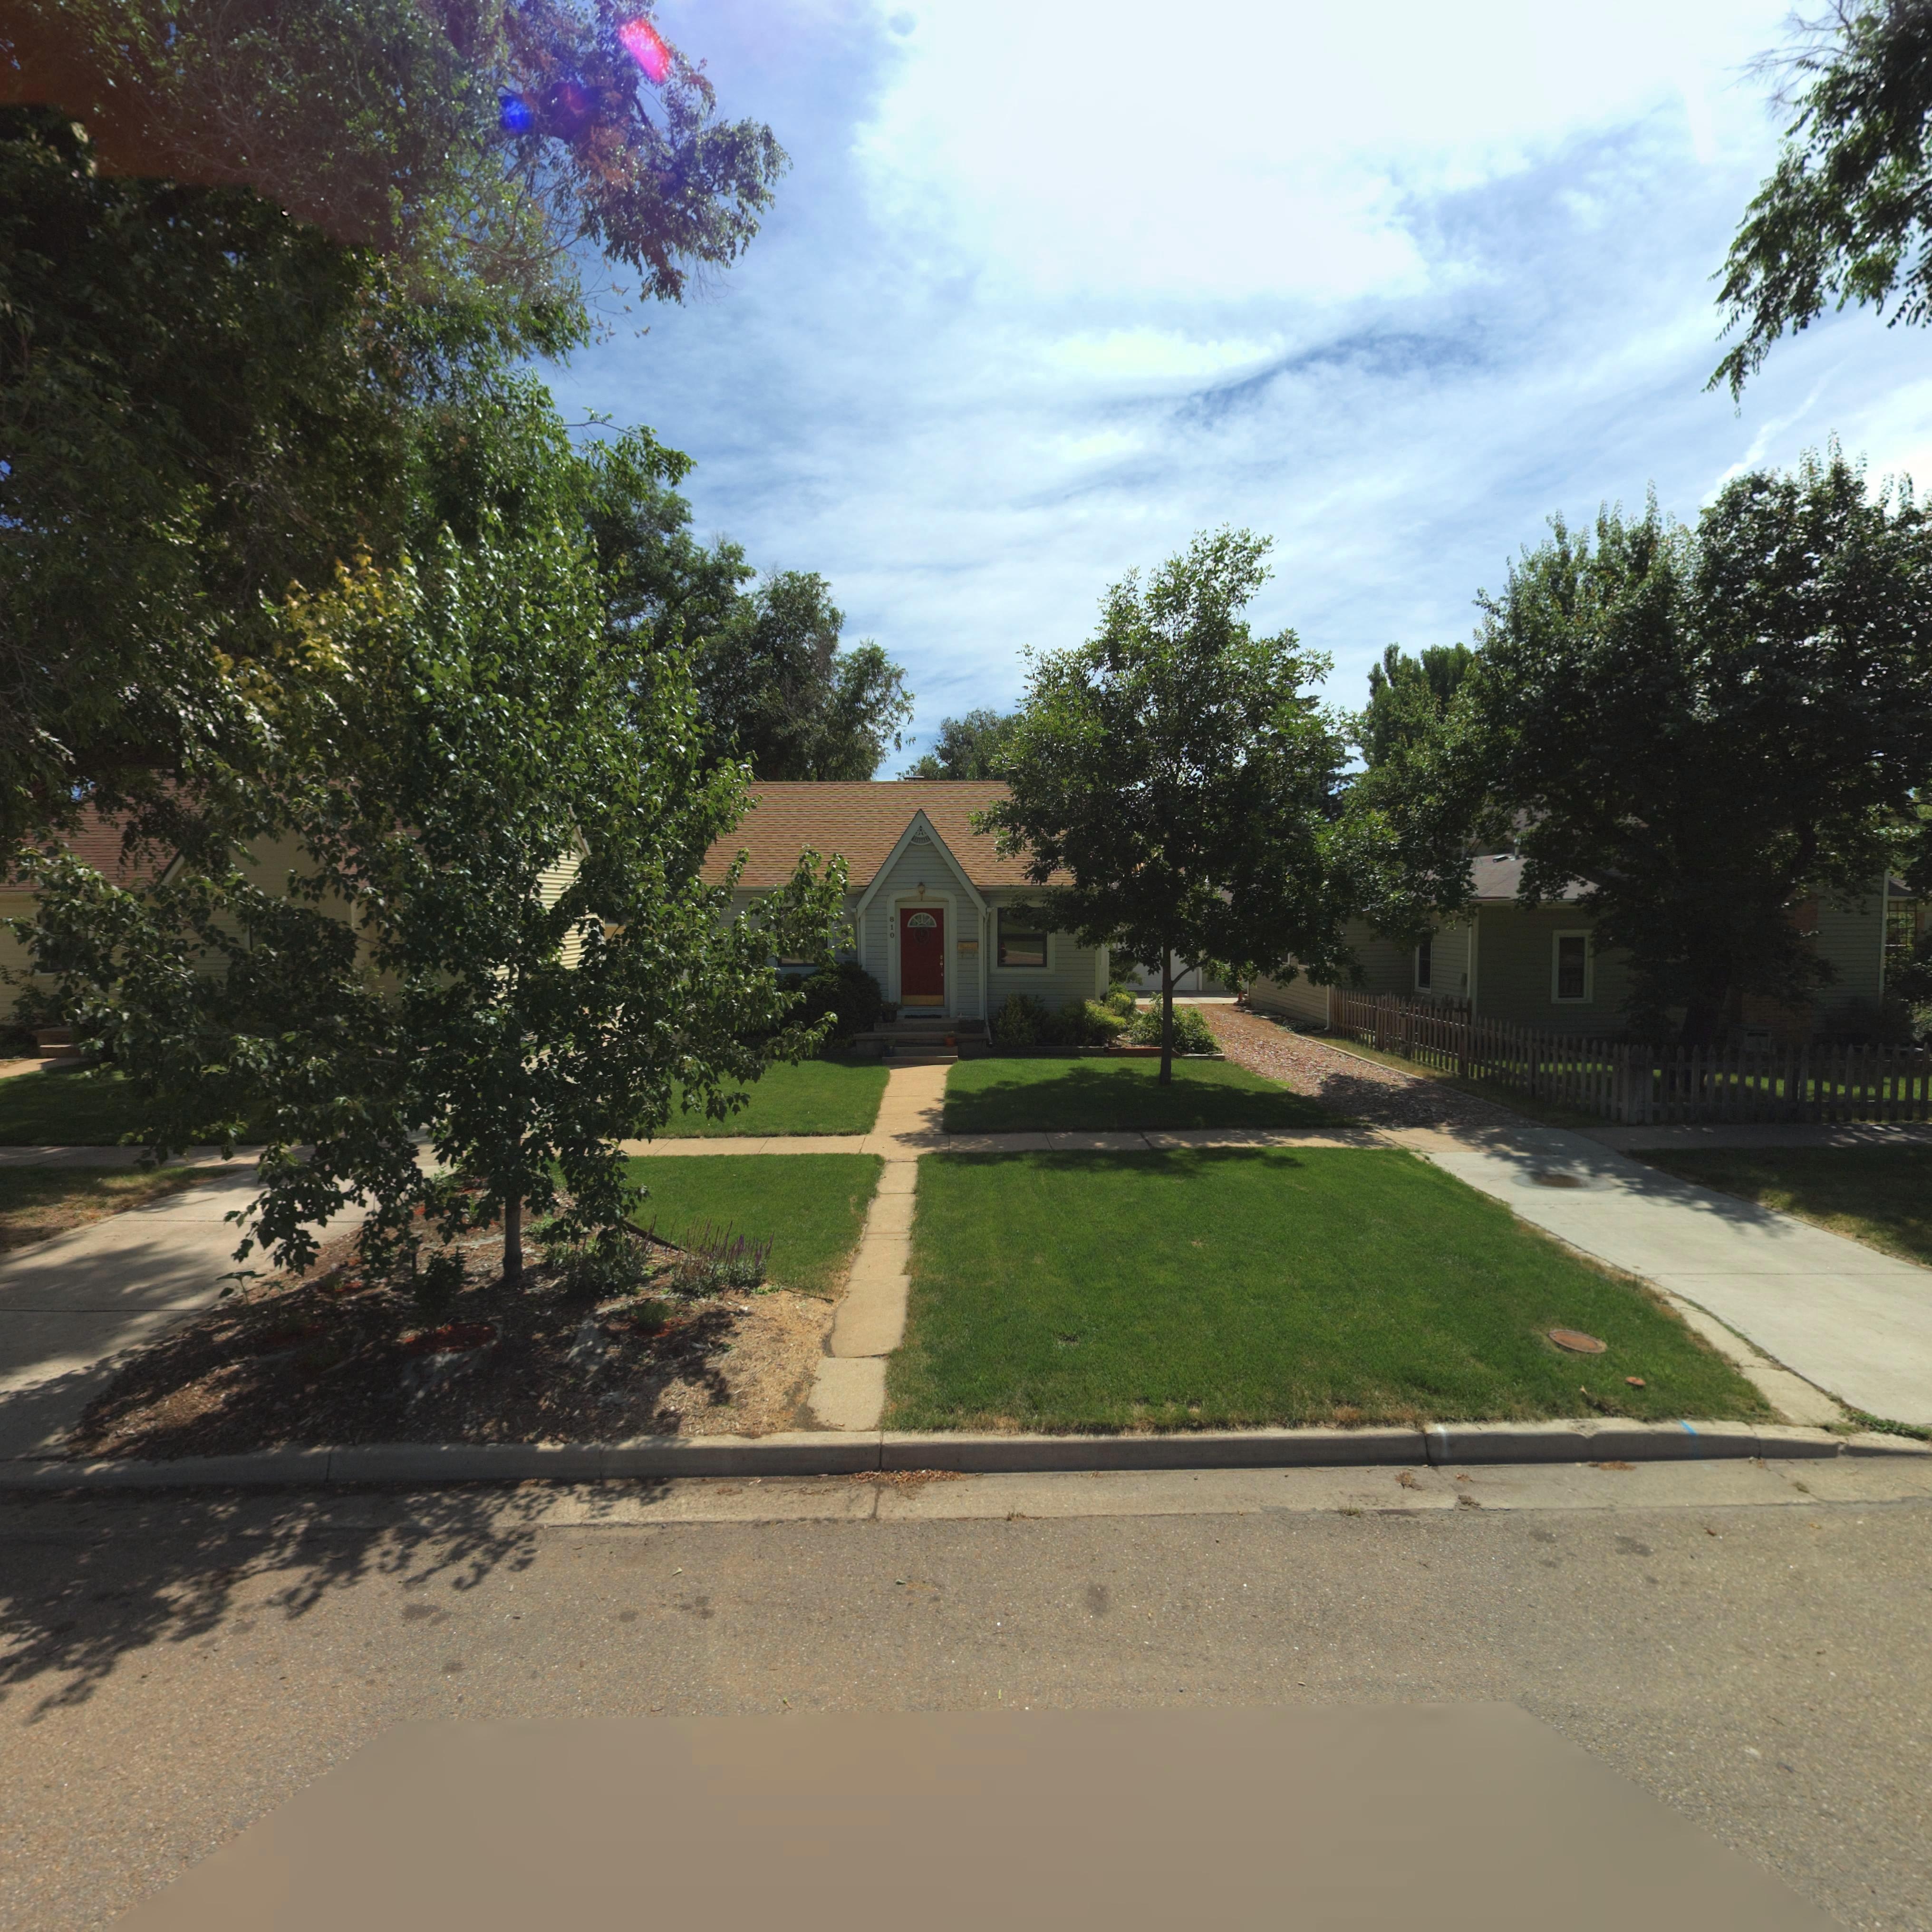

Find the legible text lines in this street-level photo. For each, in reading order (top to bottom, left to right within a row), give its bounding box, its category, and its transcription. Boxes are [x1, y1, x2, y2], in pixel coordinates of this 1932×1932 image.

[889, 916, 894, 939] StreetNumber: 810